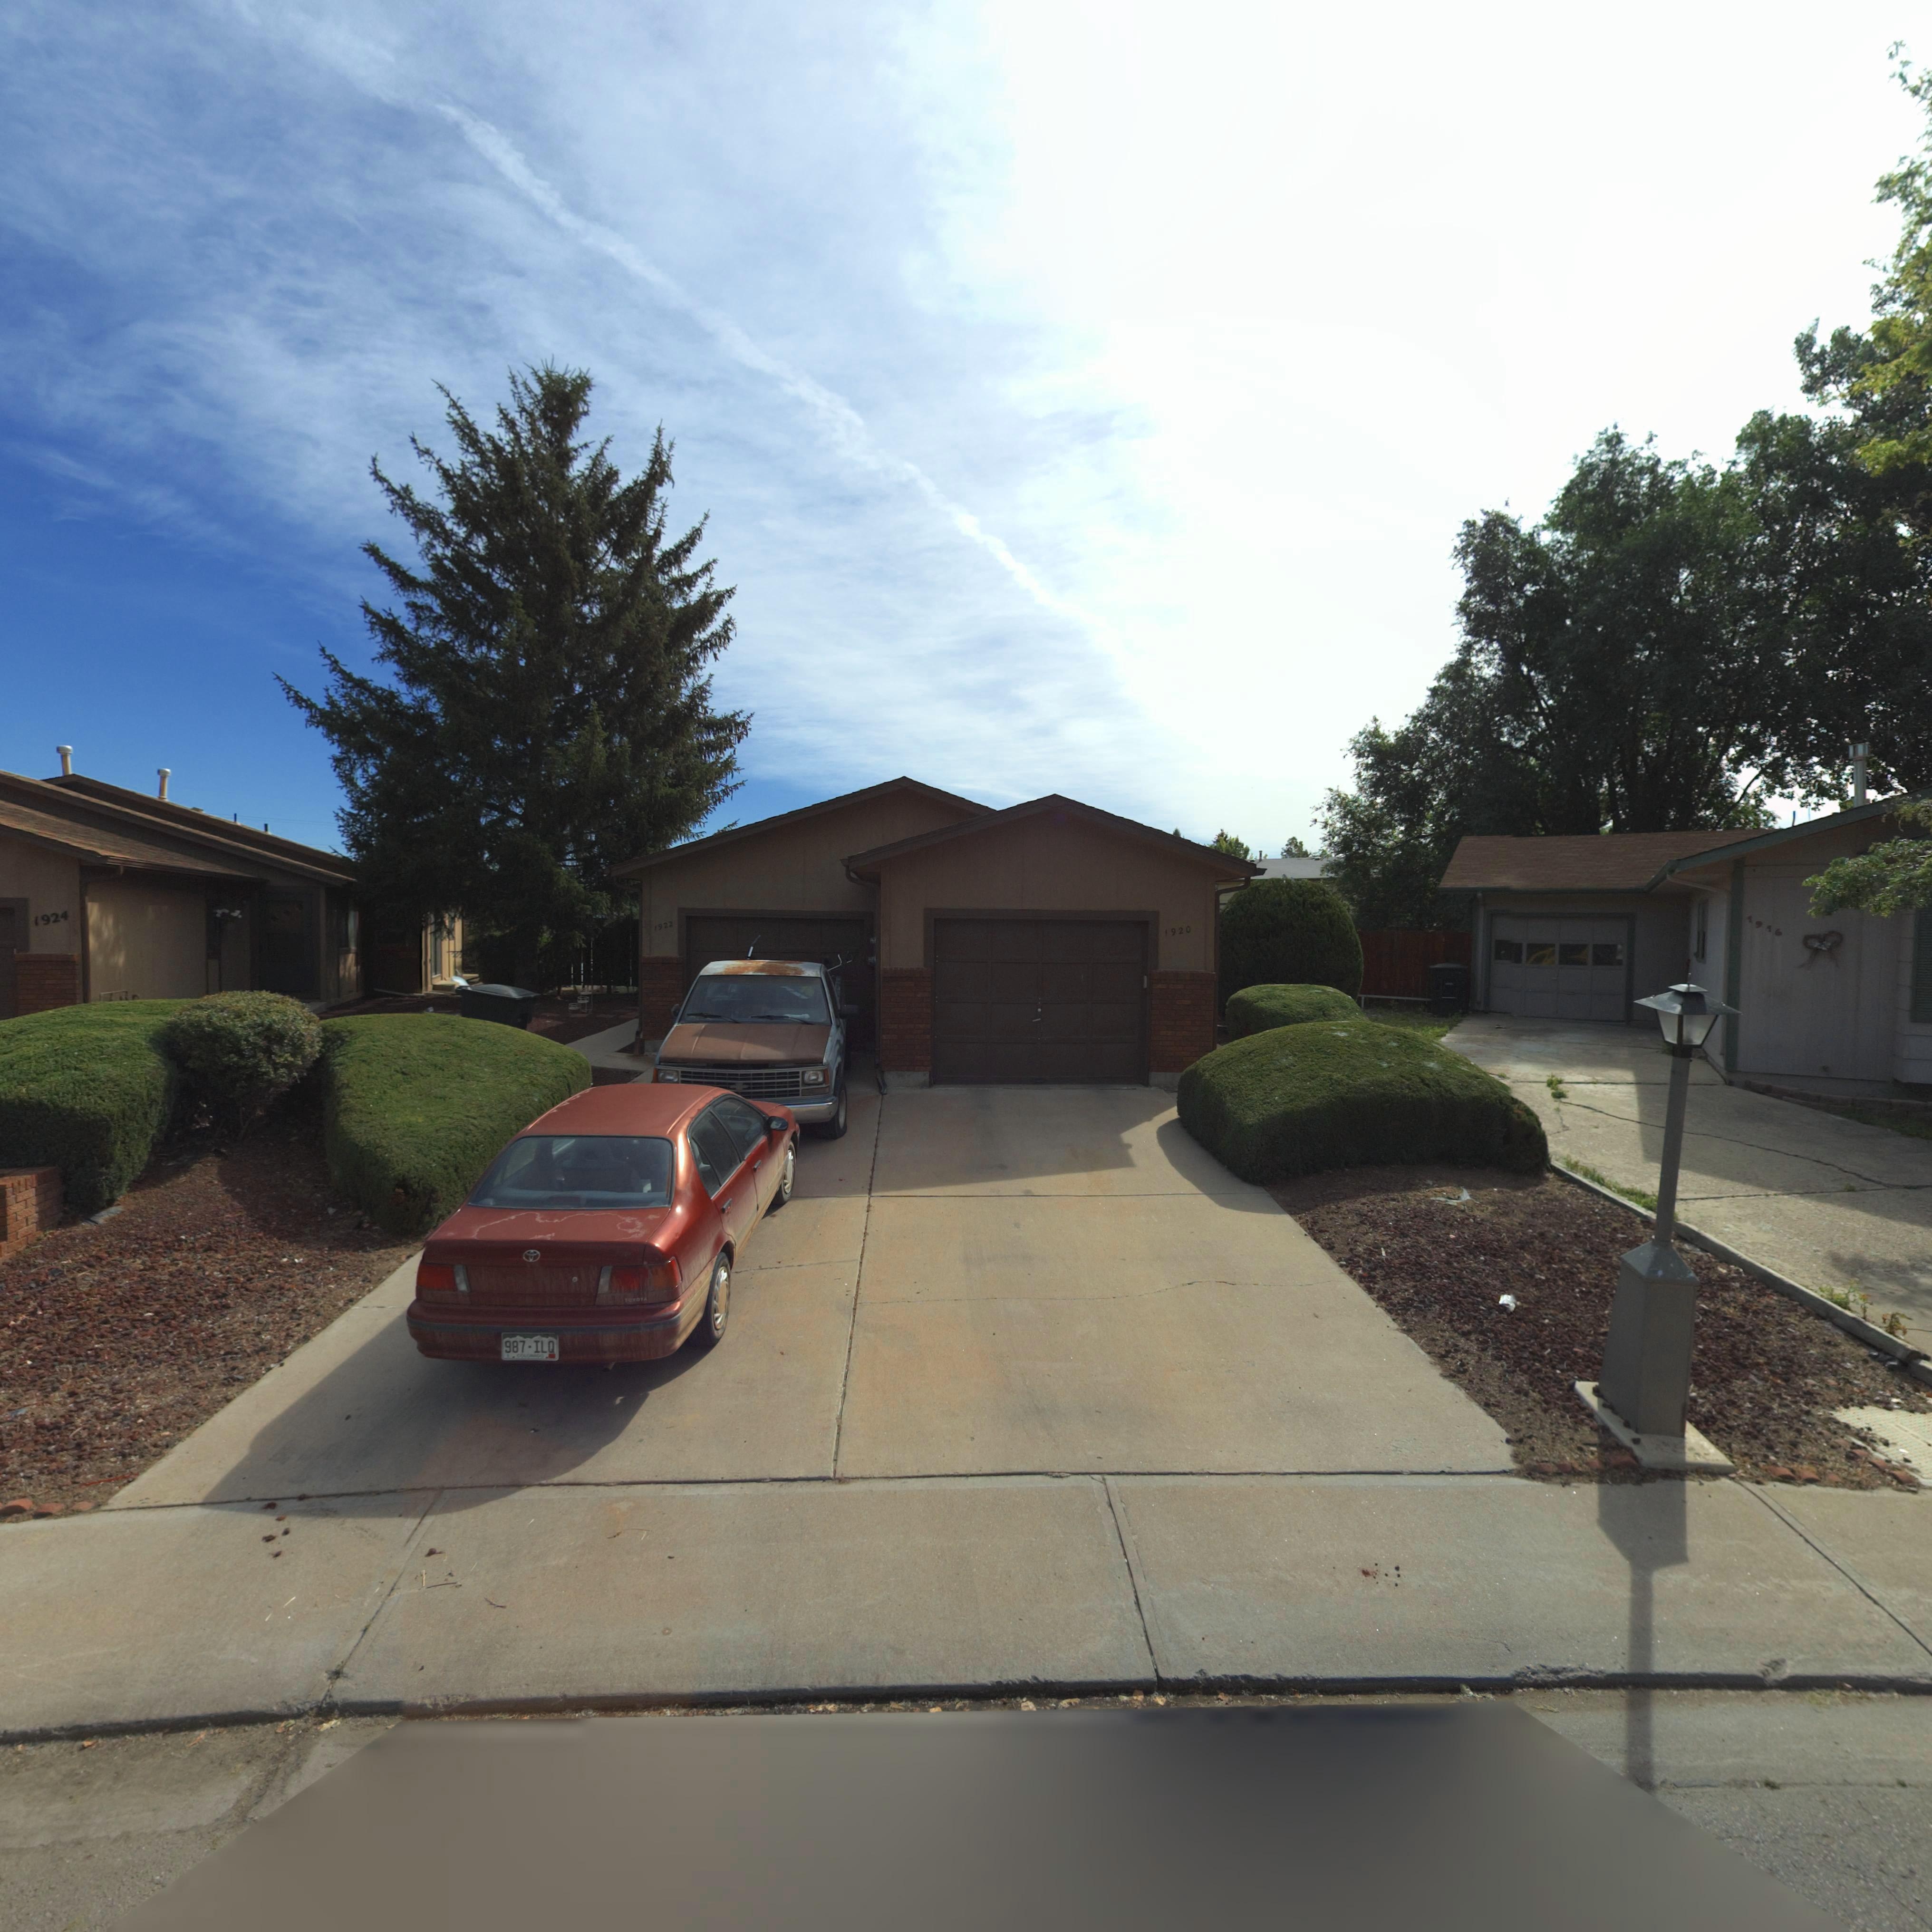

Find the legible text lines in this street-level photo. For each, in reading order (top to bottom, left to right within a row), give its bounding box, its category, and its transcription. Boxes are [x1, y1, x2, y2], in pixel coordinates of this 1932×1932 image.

[34, 909, 68, 927] StreetNumber: 1924
[654, 920, 673, 932] StreetNumber: 1922
[1165, 925, 1191, 937] StreetNumber: 1920
[1747, 915, 1783, 937] StreetNumber: 1916